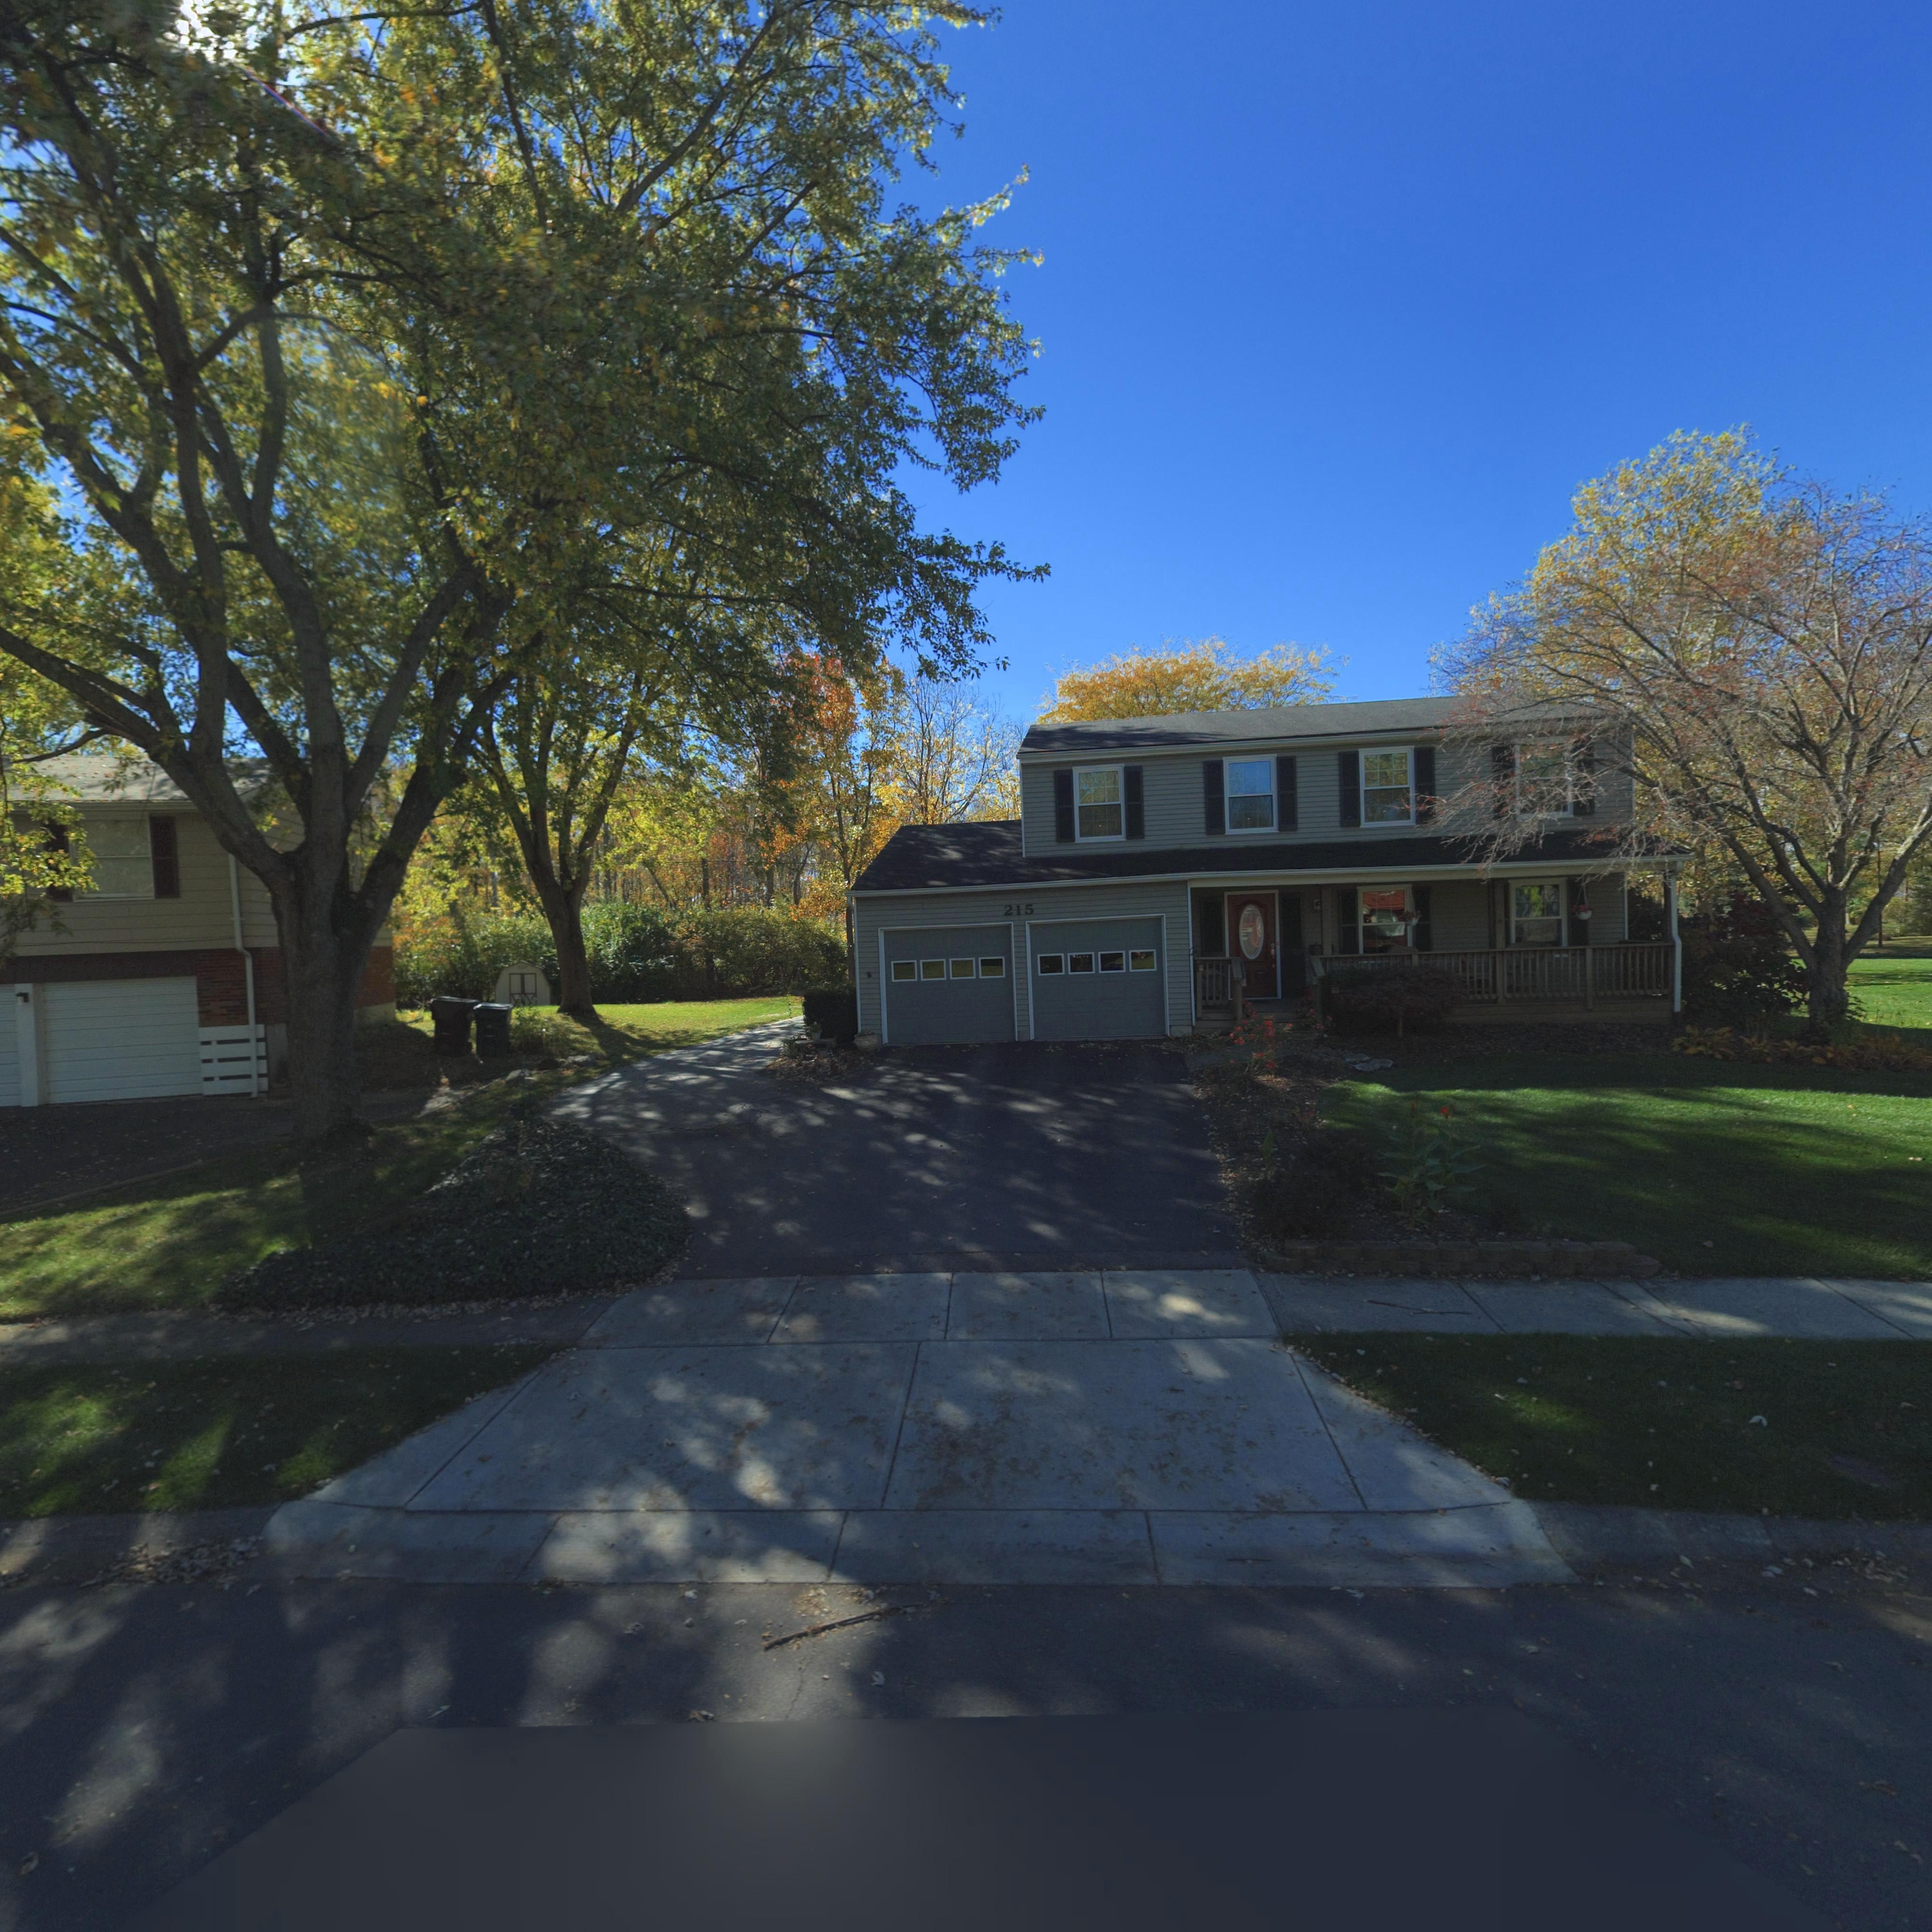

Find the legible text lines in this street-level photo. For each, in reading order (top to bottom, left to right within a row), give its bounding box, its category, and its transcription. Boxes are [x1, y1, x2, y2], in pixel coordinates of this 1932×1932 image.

[1002, 902, 1036, 918] StreetNumber: 215